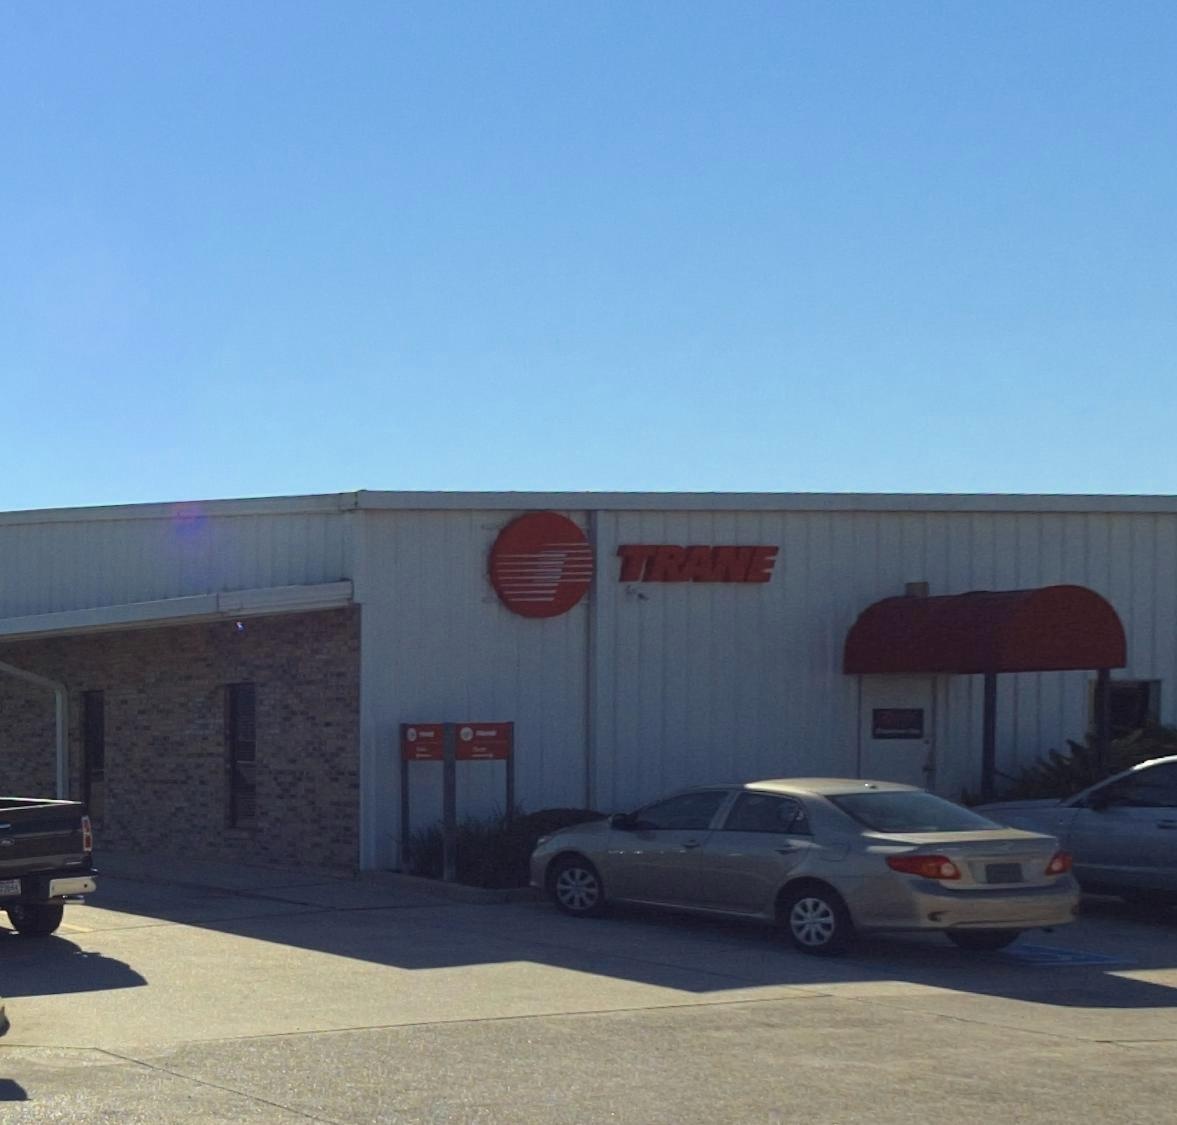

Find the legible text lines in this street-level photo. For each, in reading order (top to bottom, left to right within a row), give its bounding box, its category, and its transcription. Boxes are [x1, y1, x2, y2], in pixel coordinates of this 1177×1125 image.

[615, 542, 784, 585] BusinessName: TRANE